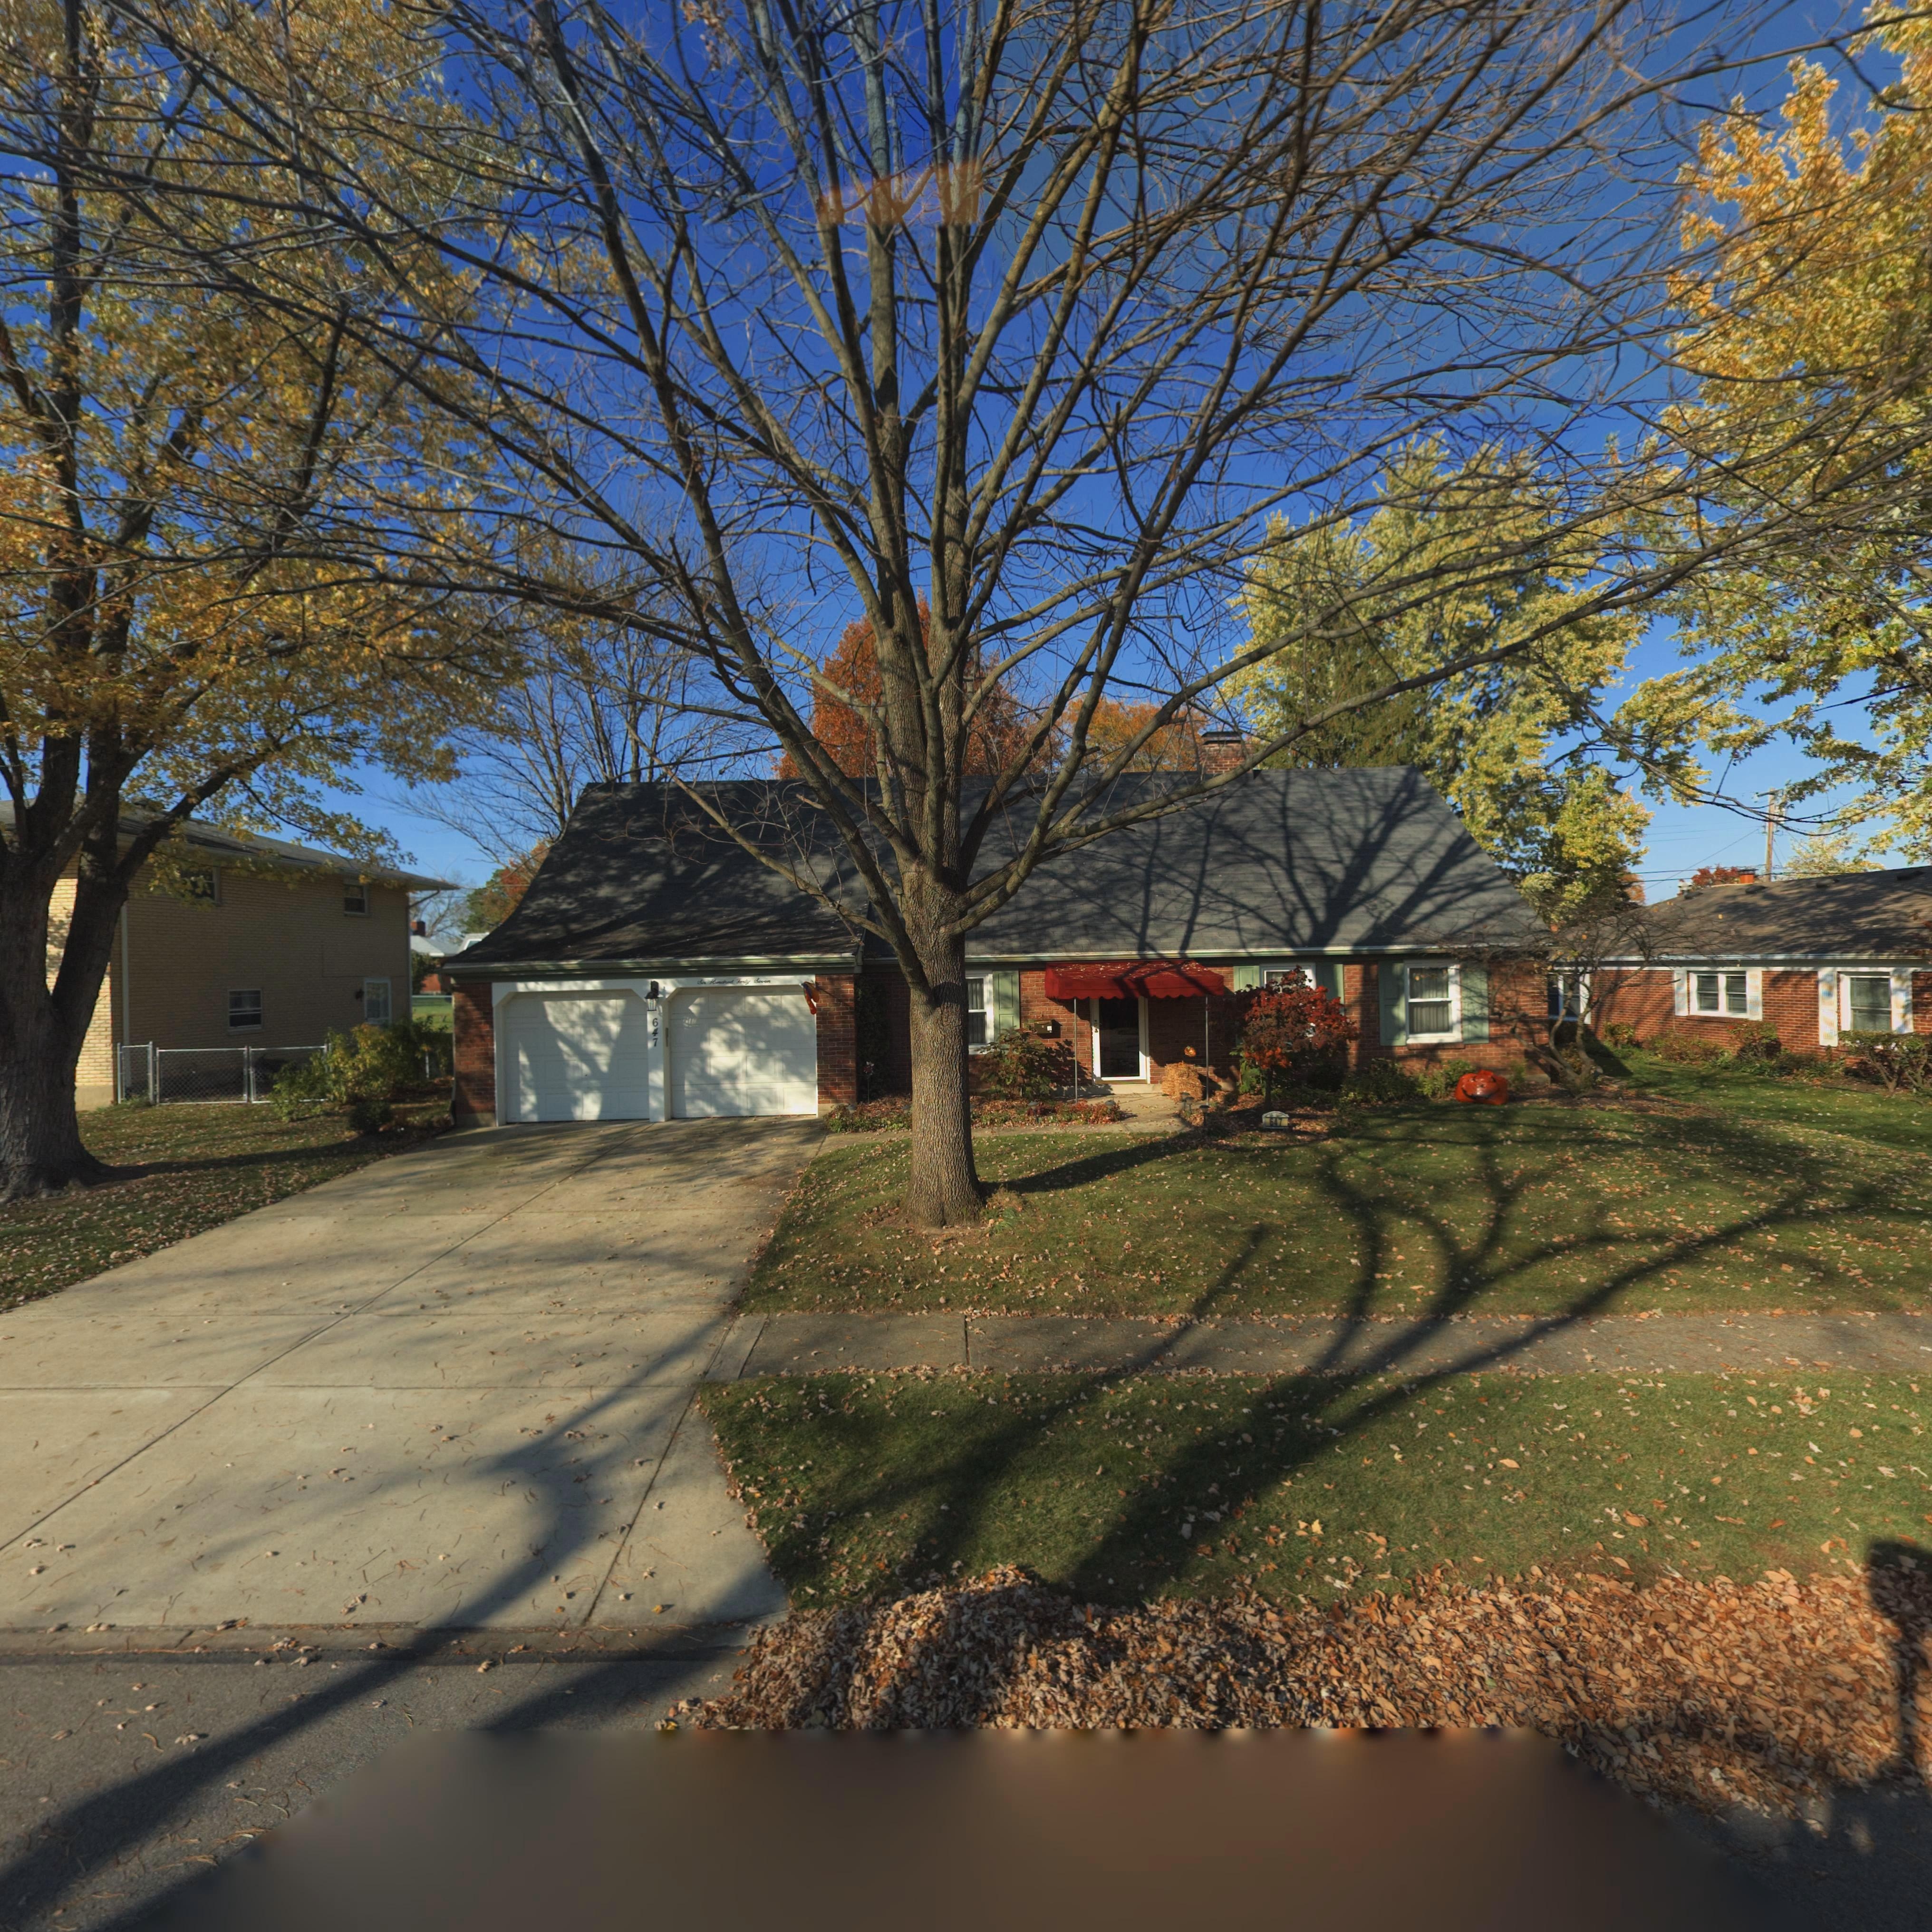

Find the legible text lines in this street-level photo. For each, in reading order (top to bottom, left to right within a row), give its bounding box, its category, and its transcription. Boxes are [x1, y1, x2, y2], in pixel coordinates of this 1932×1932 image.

[696, 977, 771, 985] StreetNumber: Six Hundred Forty Seven
[651, 1017, 659, 1048] StreetNumber: 647
[1269, 1117, 1283, 1127] StreetNumber: 647